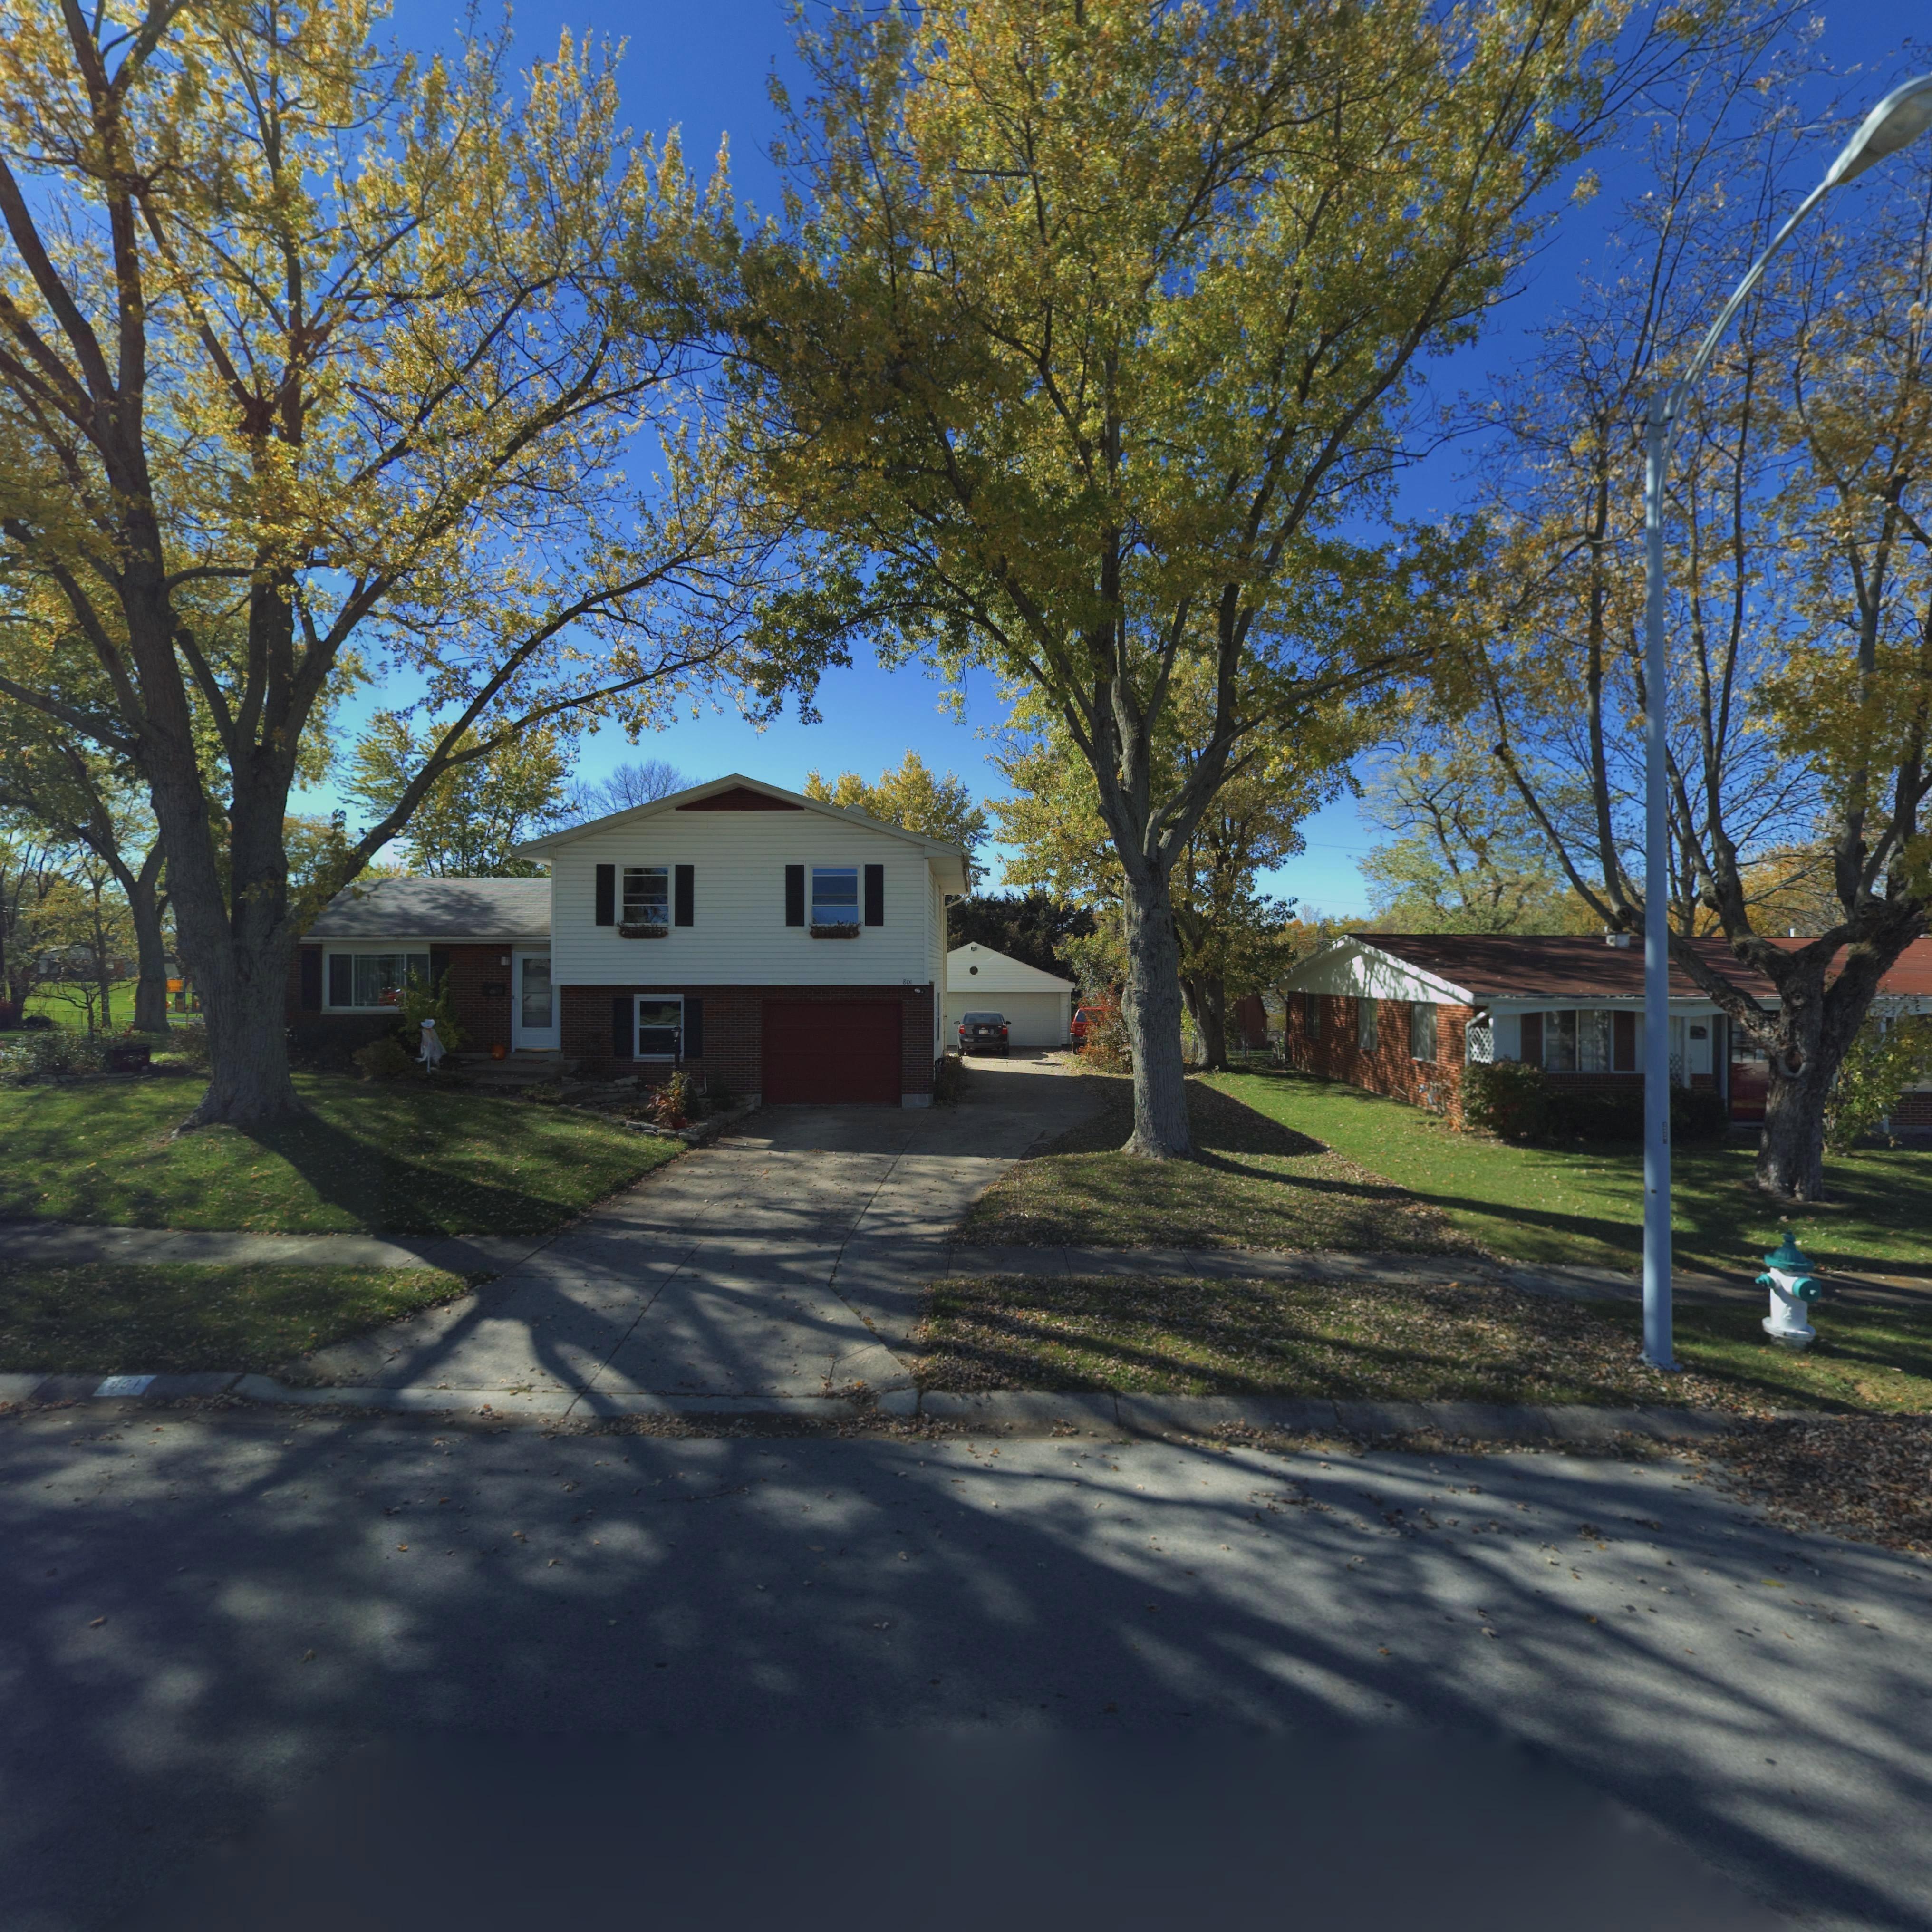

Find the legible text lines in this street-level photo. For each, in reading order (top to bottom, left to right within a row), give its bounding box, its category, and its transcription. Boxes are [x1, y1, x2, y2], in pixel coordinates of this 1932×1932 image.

[902, 978, 912, 985] StreetNumber: 801
[106, 1378, 144, 1391] StreetNumber: 801